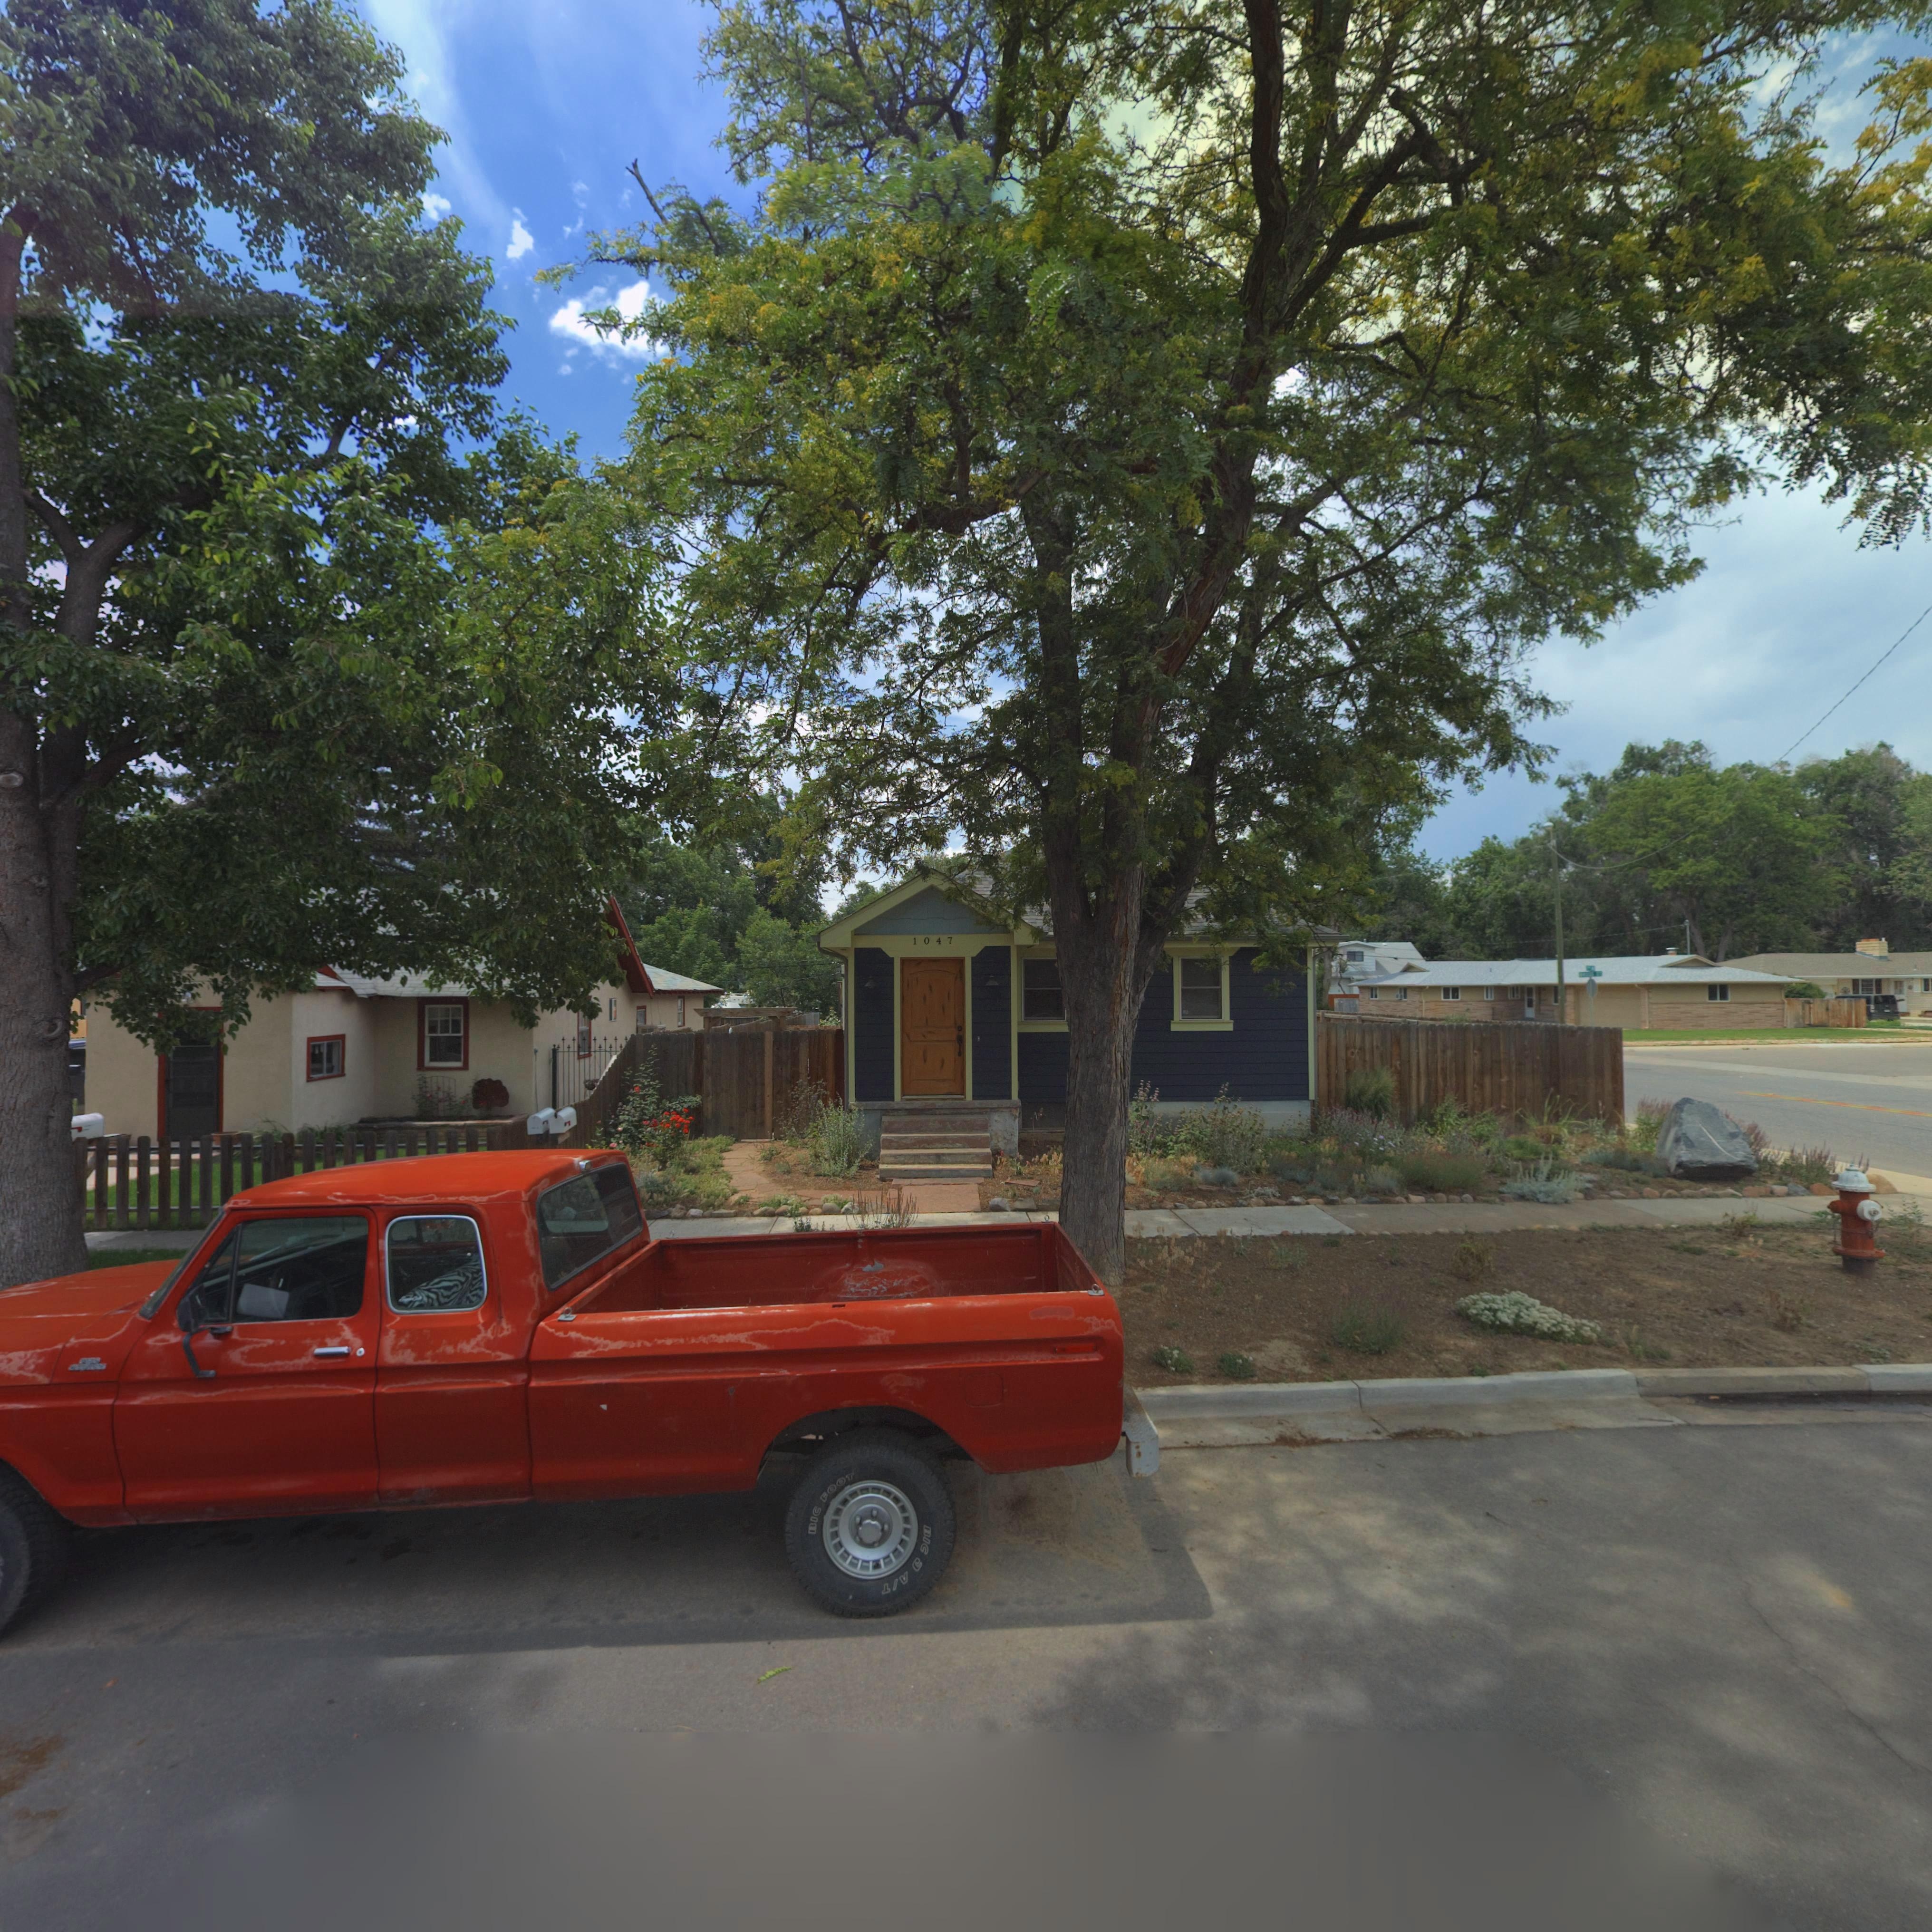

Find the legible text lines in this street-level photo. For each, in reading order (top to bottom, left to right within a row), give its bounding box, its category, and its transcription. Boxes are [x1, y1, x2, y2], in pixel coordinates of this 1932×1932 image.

[913, 936, 953, 945] StreetNumber: 1047
[1579, 971, 1601, 976] StreetName: ****SS ST